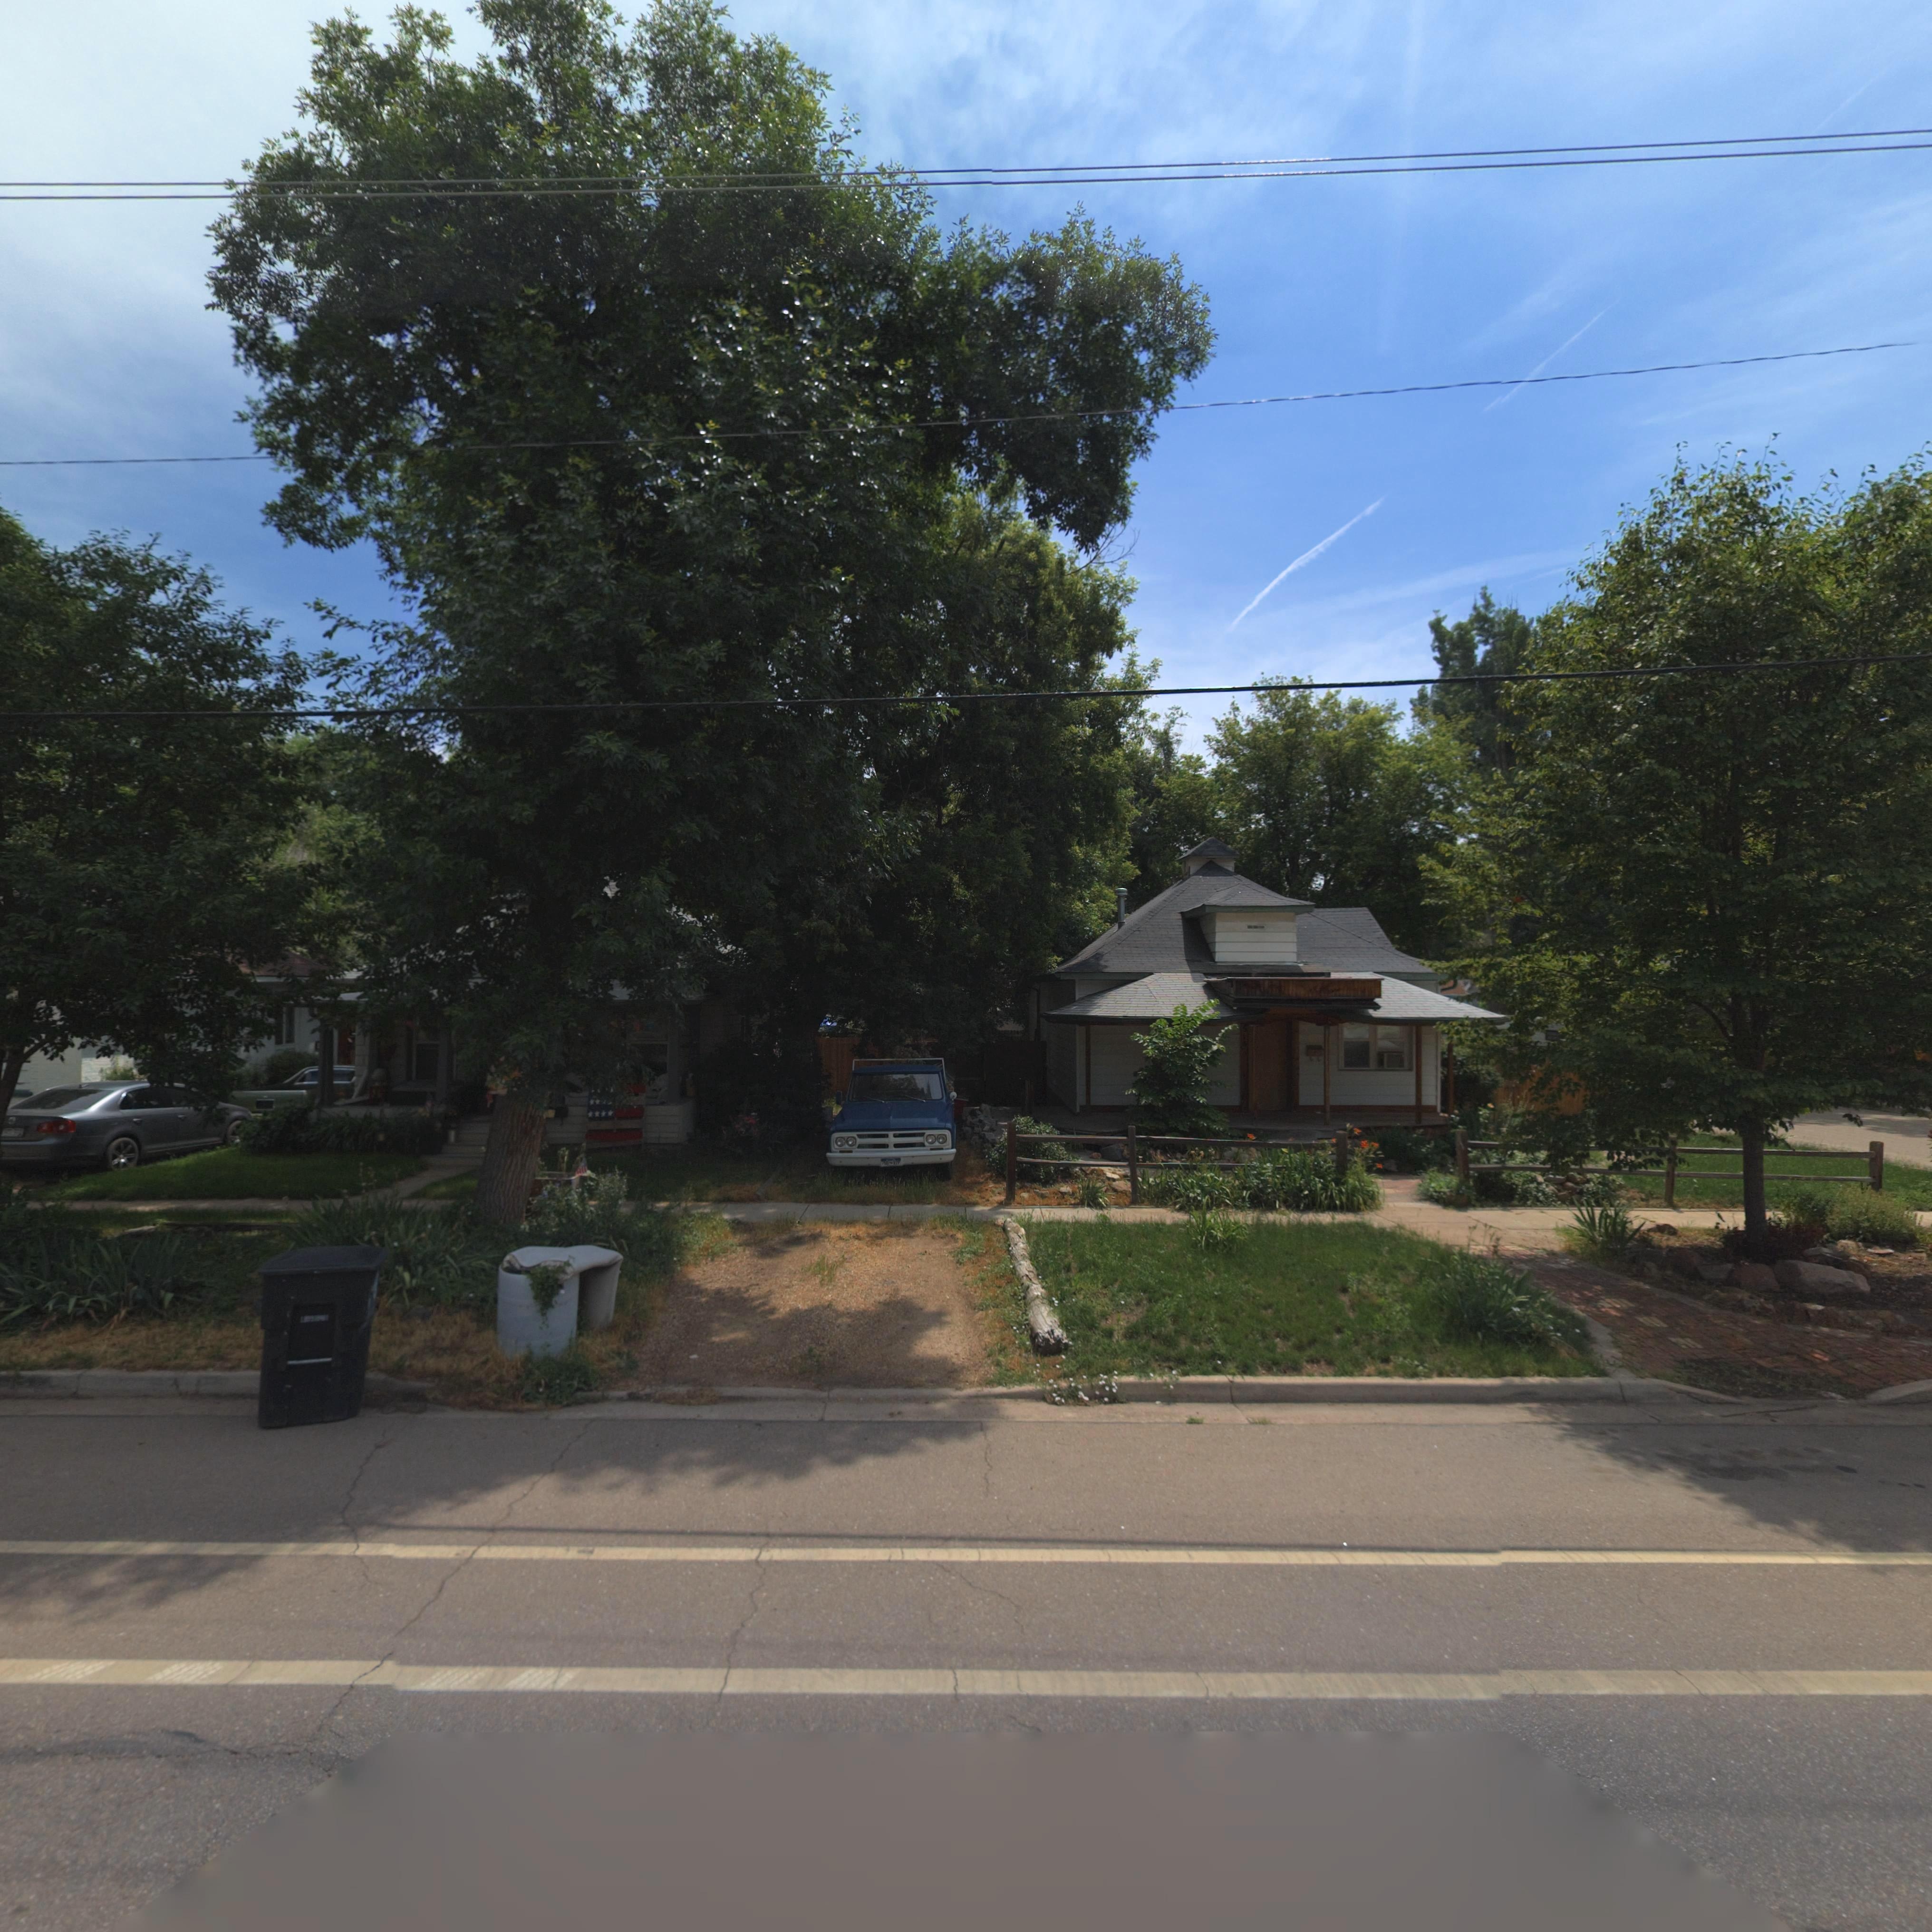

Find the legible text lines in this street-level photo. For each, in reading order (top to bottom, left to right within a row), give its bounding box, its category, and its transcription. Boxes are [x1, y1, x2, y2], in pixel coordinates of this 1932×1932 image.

[1242, 1024, 1247, 1048] StreetNumber: 51*